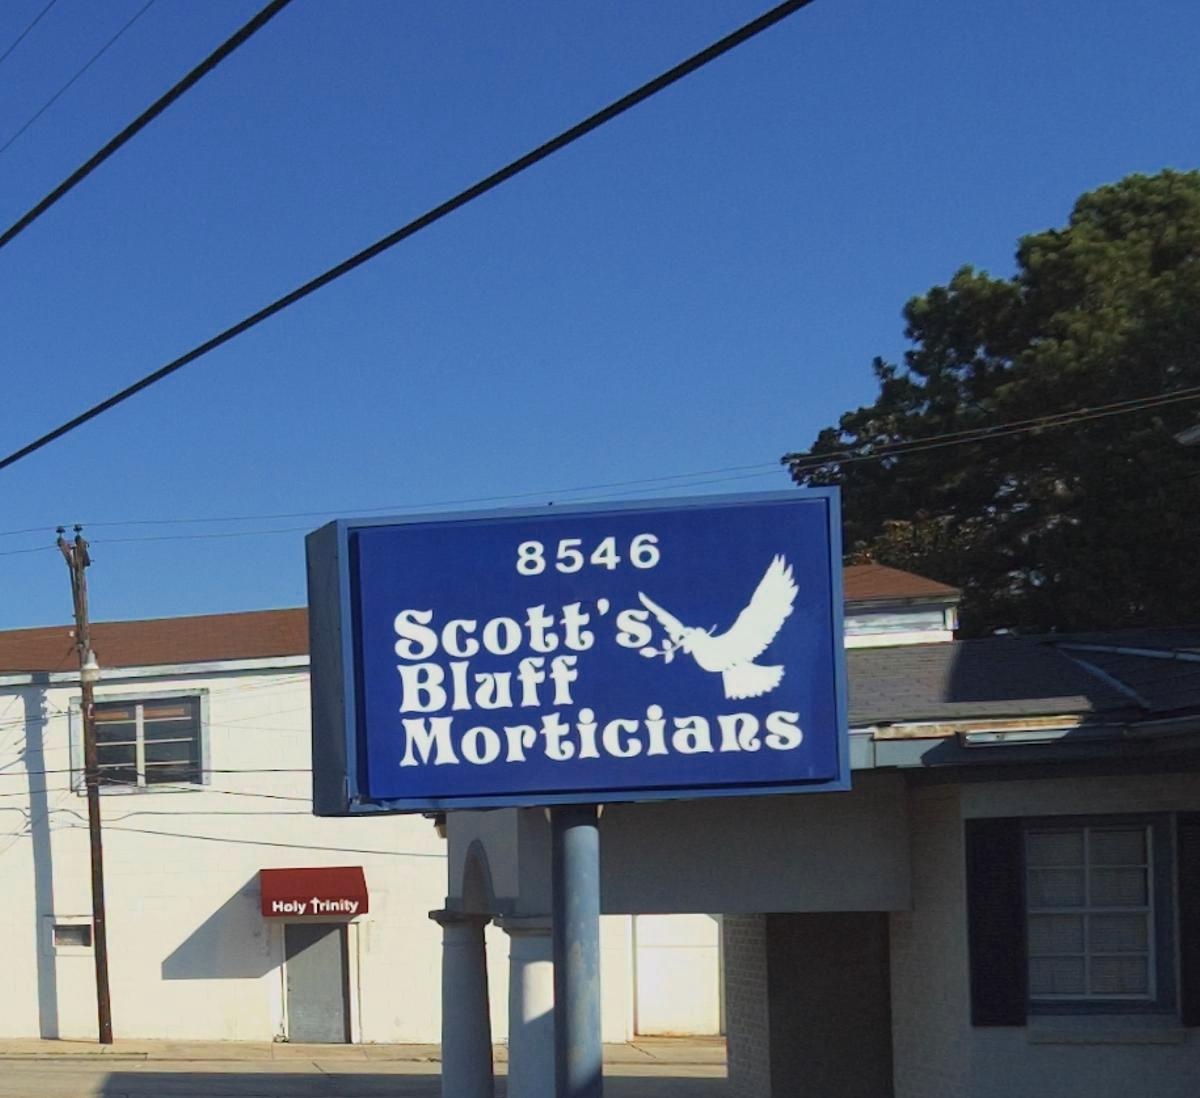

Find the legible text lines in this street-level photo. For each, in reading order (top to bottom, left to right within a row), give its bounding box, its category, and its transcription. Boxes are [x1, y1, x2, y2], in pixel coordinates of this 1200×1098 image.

[512, 527, 666, 581] StreetNumber: 8546
[389, 592, 656, 664] BusinessName: Scott;s
[390, 652, 582, 716] BusinessName: Bluff
[393, 698, 808, 772] BusinessName: Morticians
[269, 894, 362, 919] None: Holy Trinity